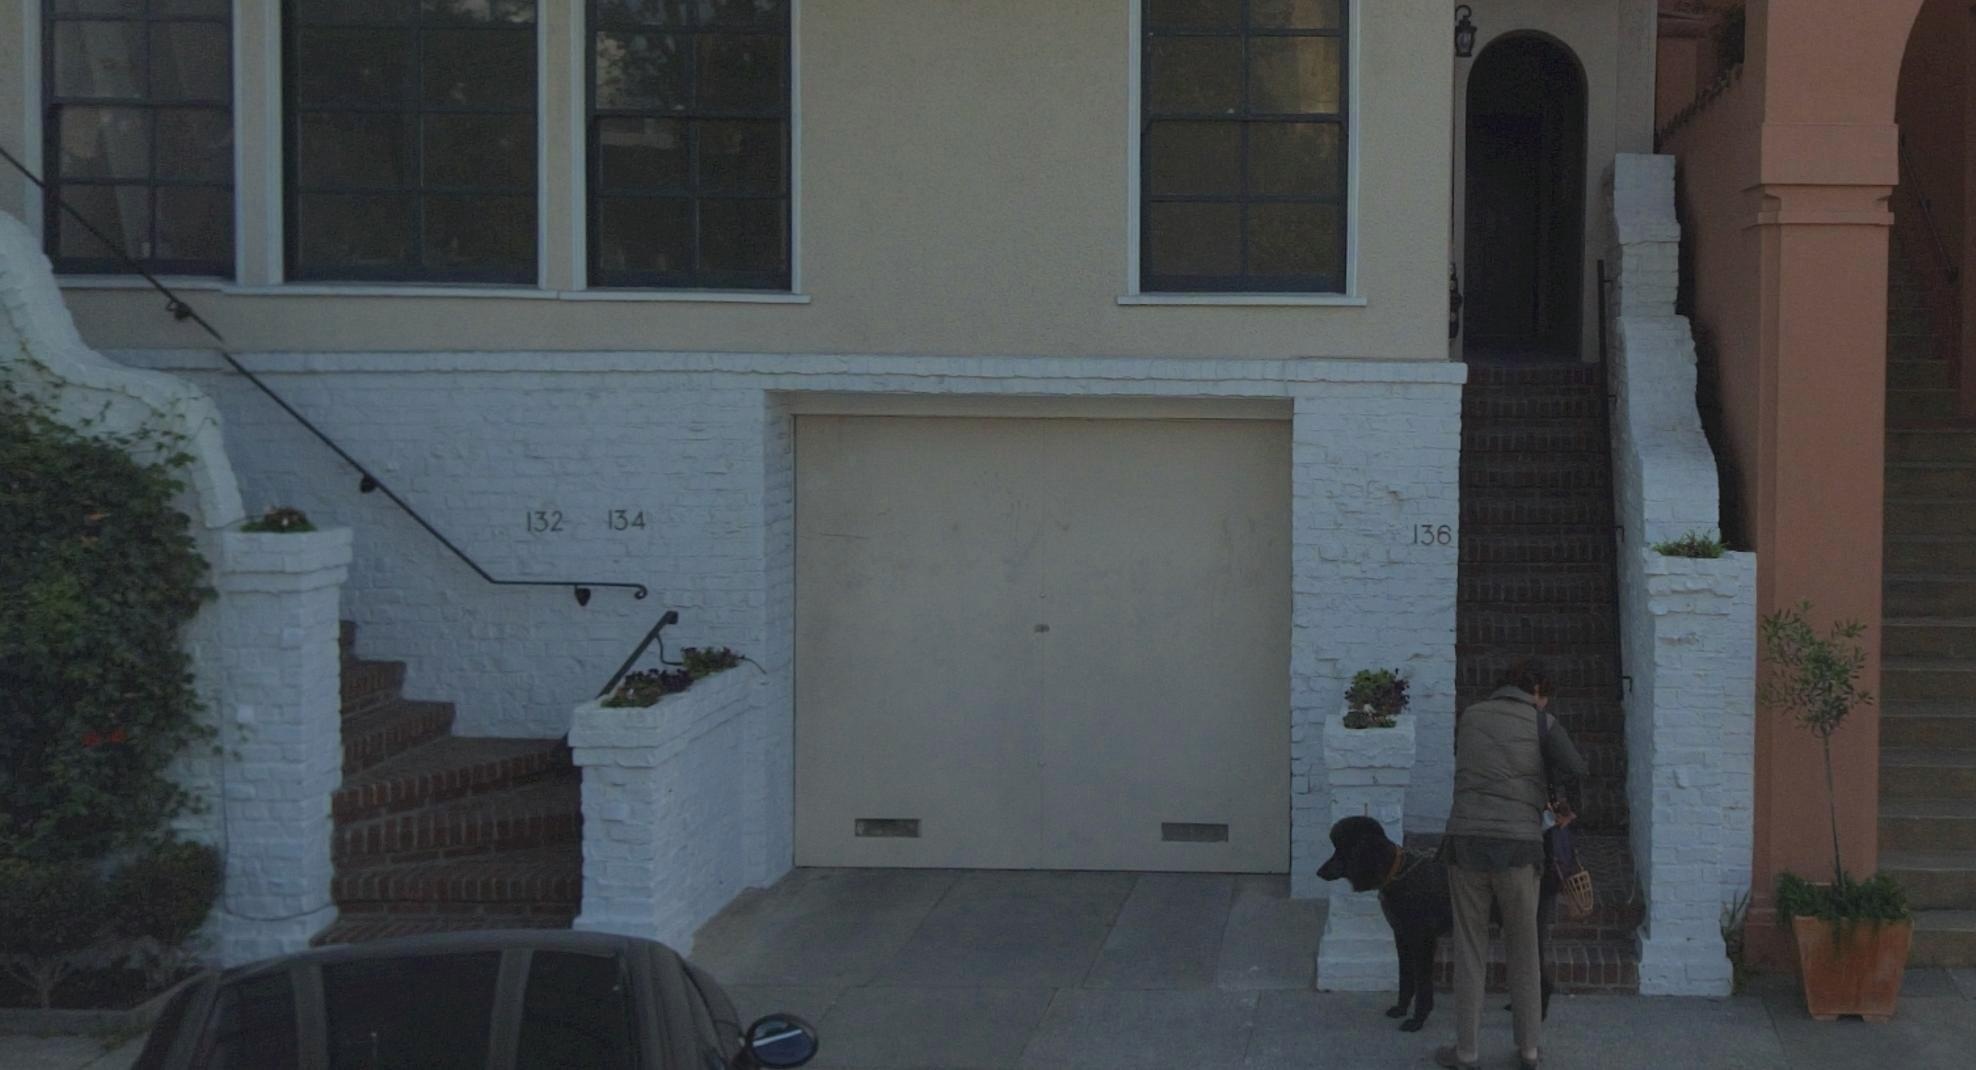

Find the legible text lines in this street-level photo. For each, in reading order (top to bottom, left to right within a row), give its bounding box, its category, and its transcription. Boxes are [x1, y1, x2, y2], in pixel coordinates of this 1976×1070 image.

[524, 507, 566, 535] StreetNumber: 132
[605, 506, 649, 534] StreetNumber: 134
[1411, 522, 1454, 548] StreetNumber: 136